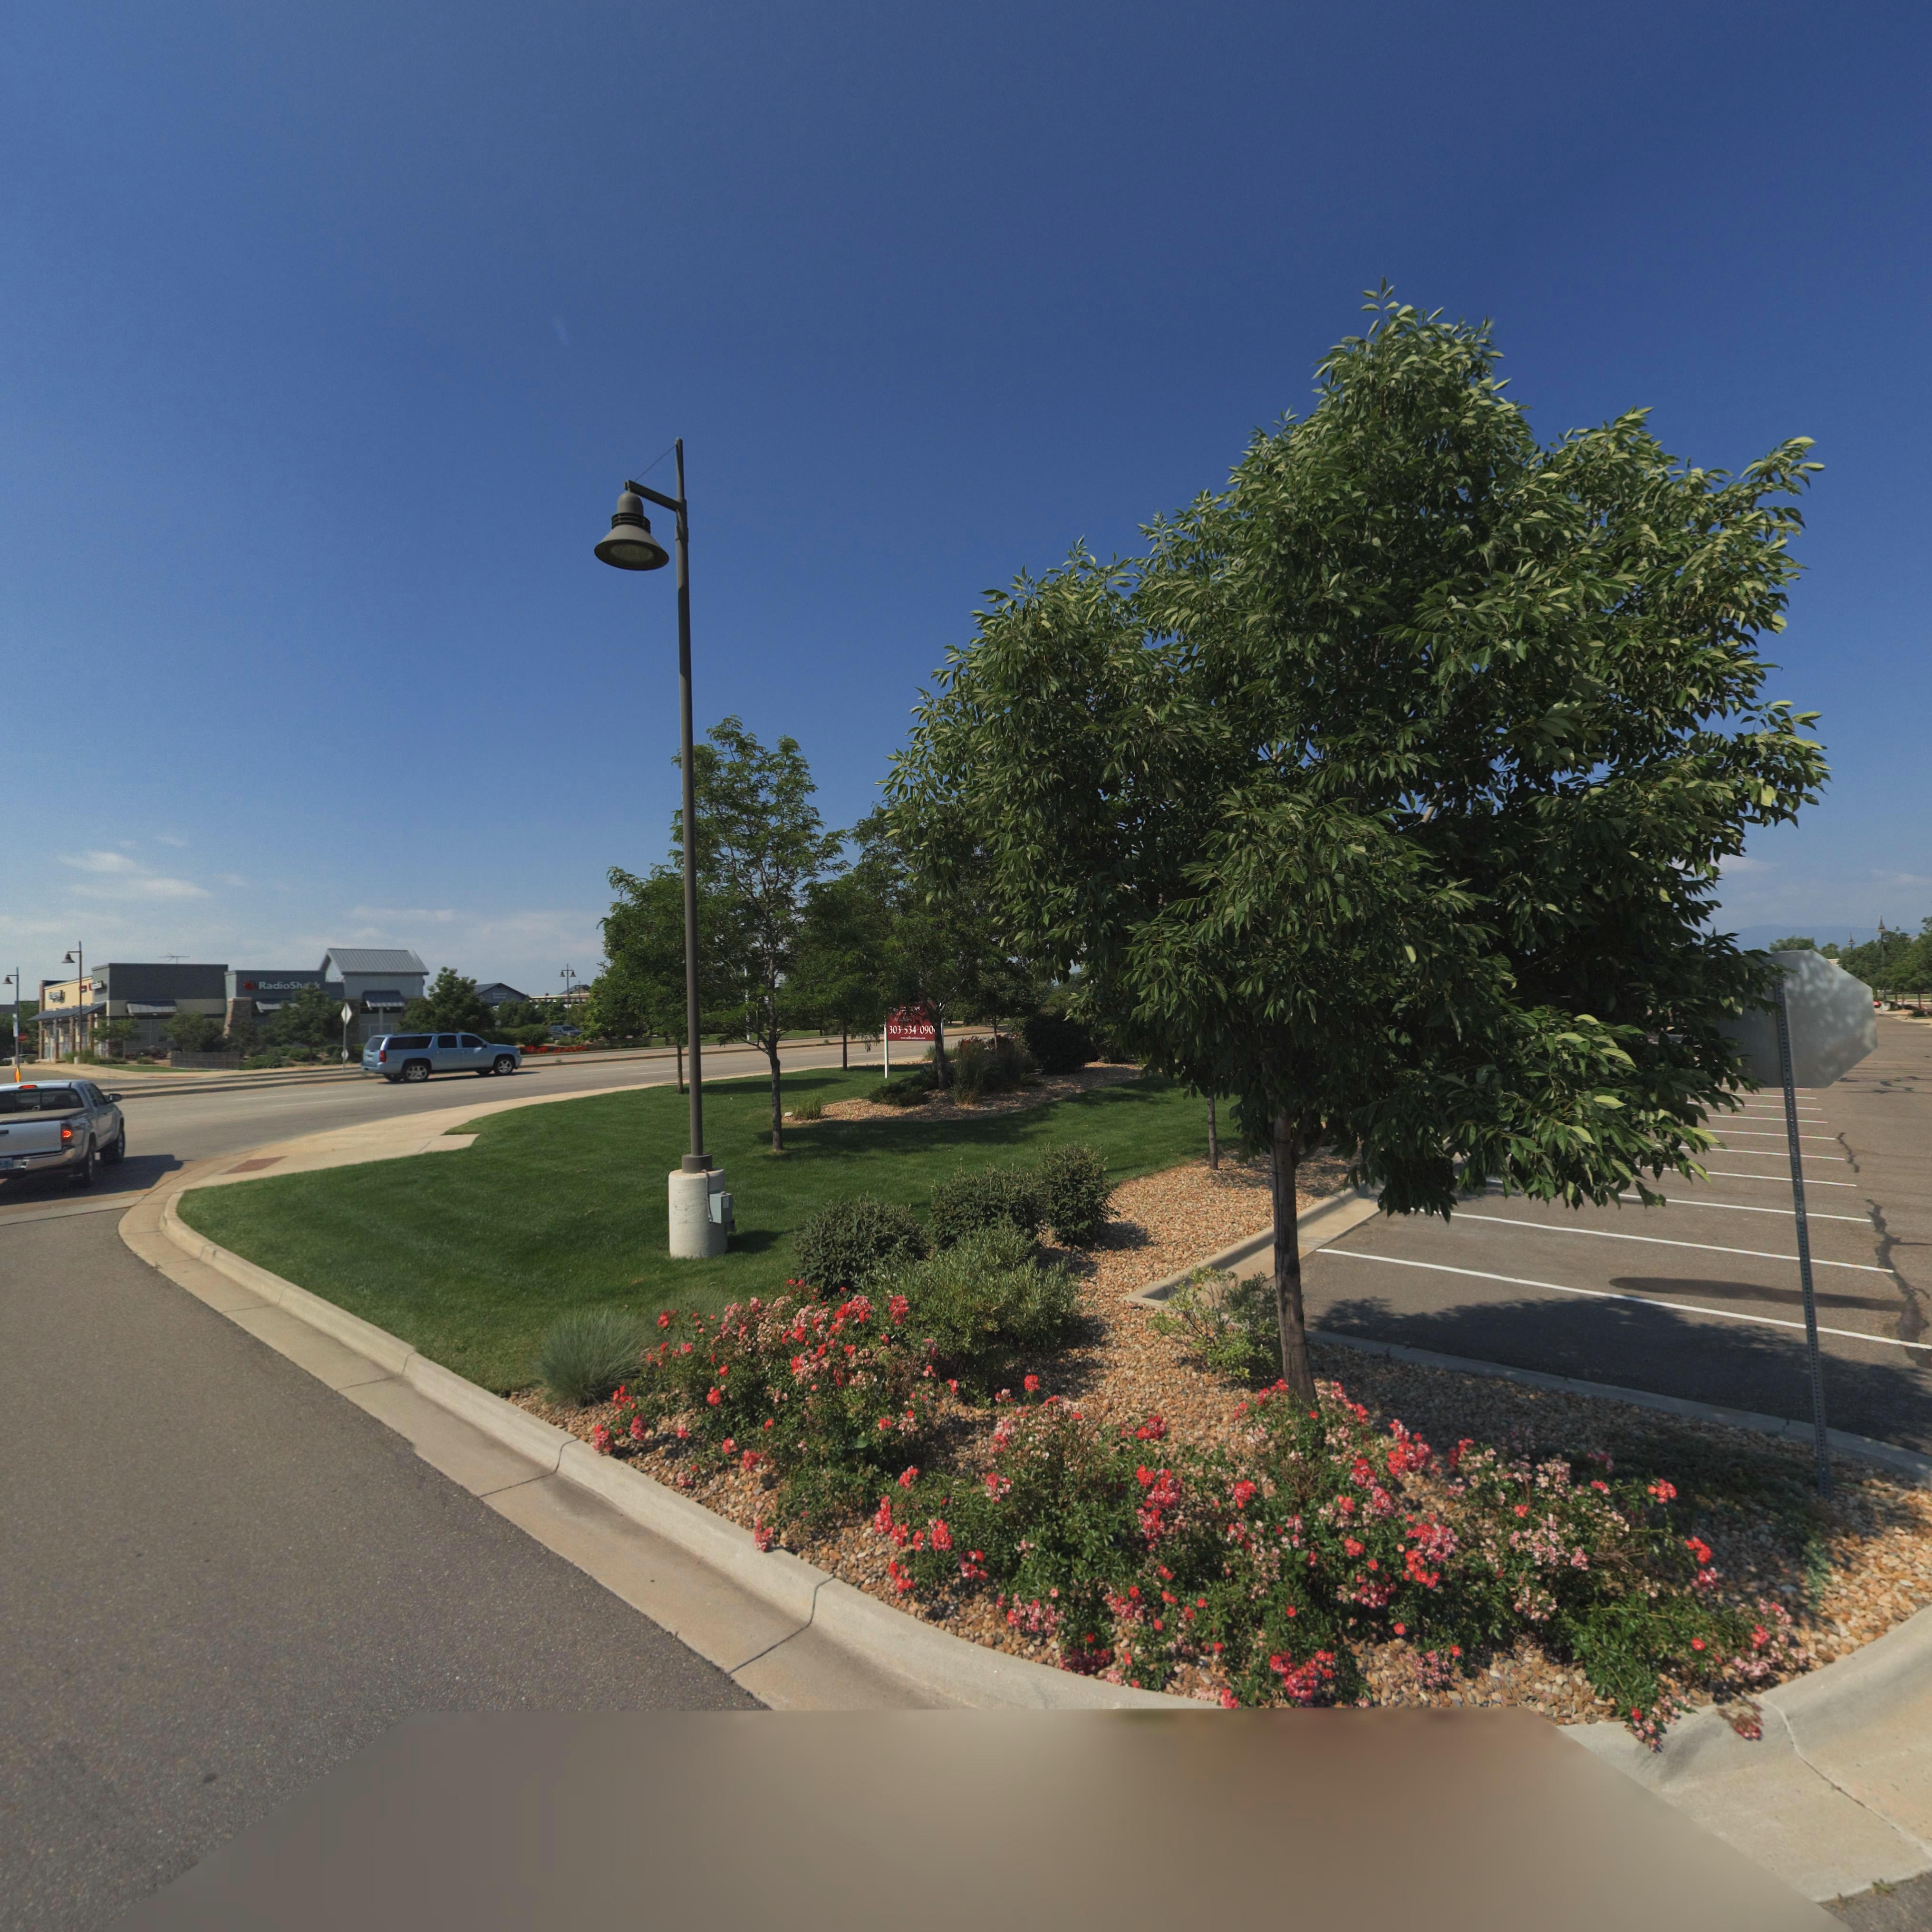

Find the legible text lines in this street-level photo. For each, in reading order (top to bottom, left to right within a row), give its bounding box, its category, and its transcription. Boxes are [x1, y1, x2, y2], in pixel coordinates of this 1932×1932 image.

[259, 981, 321, 990] BusinessName: RadioSha*k